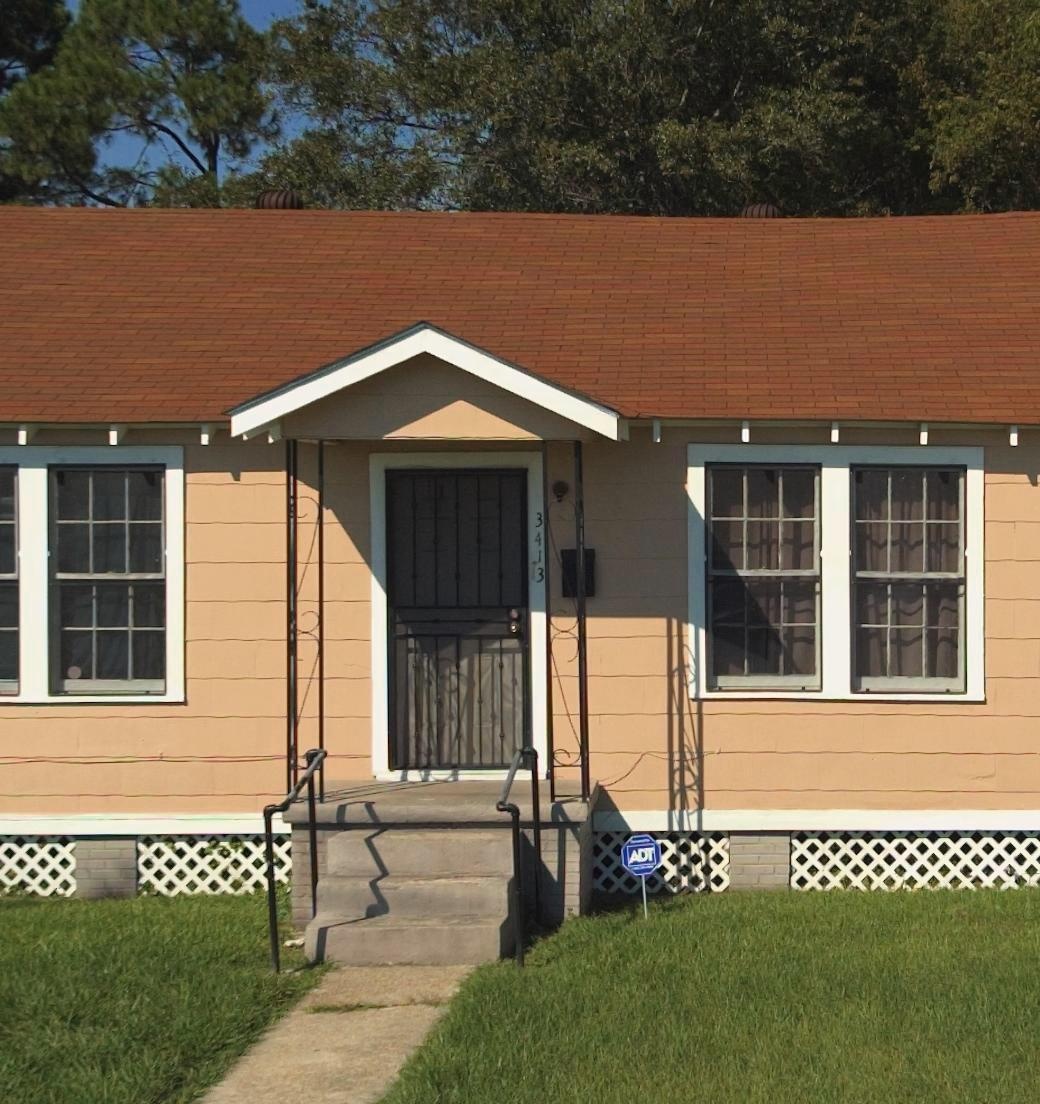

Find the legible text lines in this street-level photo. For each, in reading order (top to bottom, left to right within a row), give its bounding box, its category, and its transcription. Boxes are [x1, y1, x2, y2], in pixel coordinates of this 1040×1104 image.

[533, 509, 546, 585] StreetNumber: 3413
[626, 845, 657, 864] None: ADT